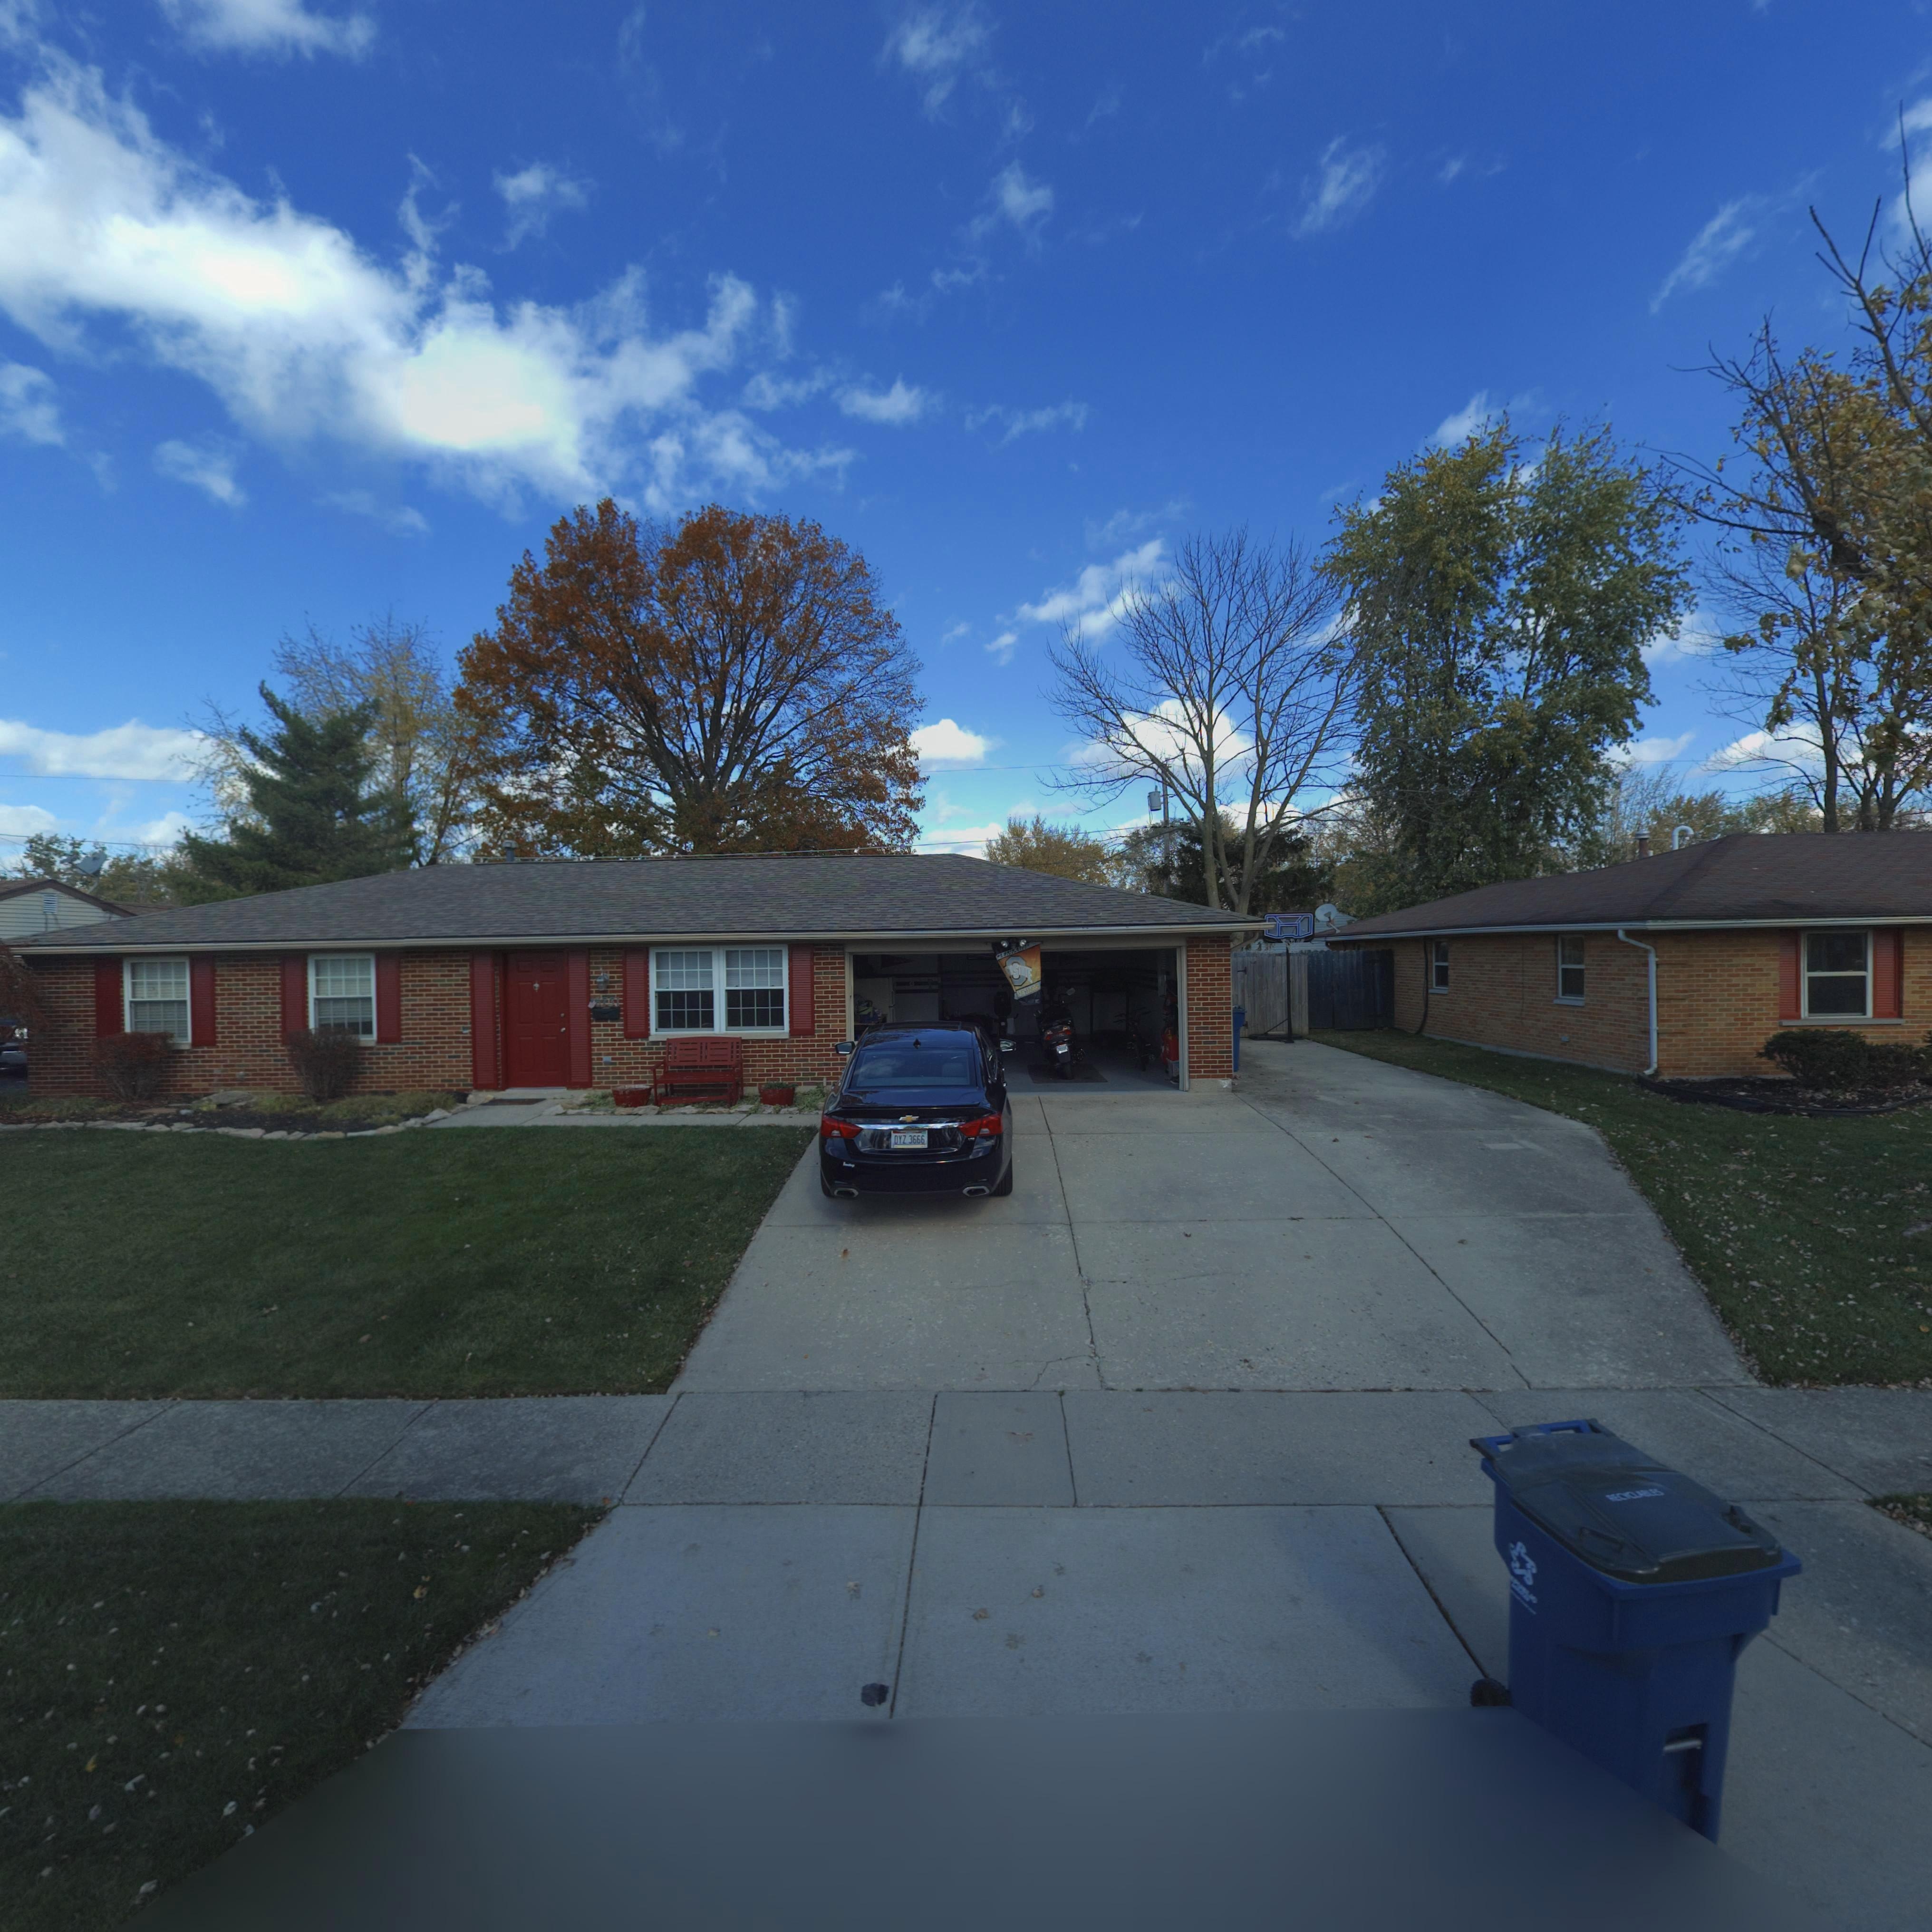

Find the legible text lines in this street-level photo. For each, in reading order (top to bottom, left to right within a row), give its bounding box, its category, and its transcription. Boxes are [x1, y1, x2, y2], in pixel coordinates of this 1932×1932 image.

[594, 996, 620, 1008] StreetNumber: 6731